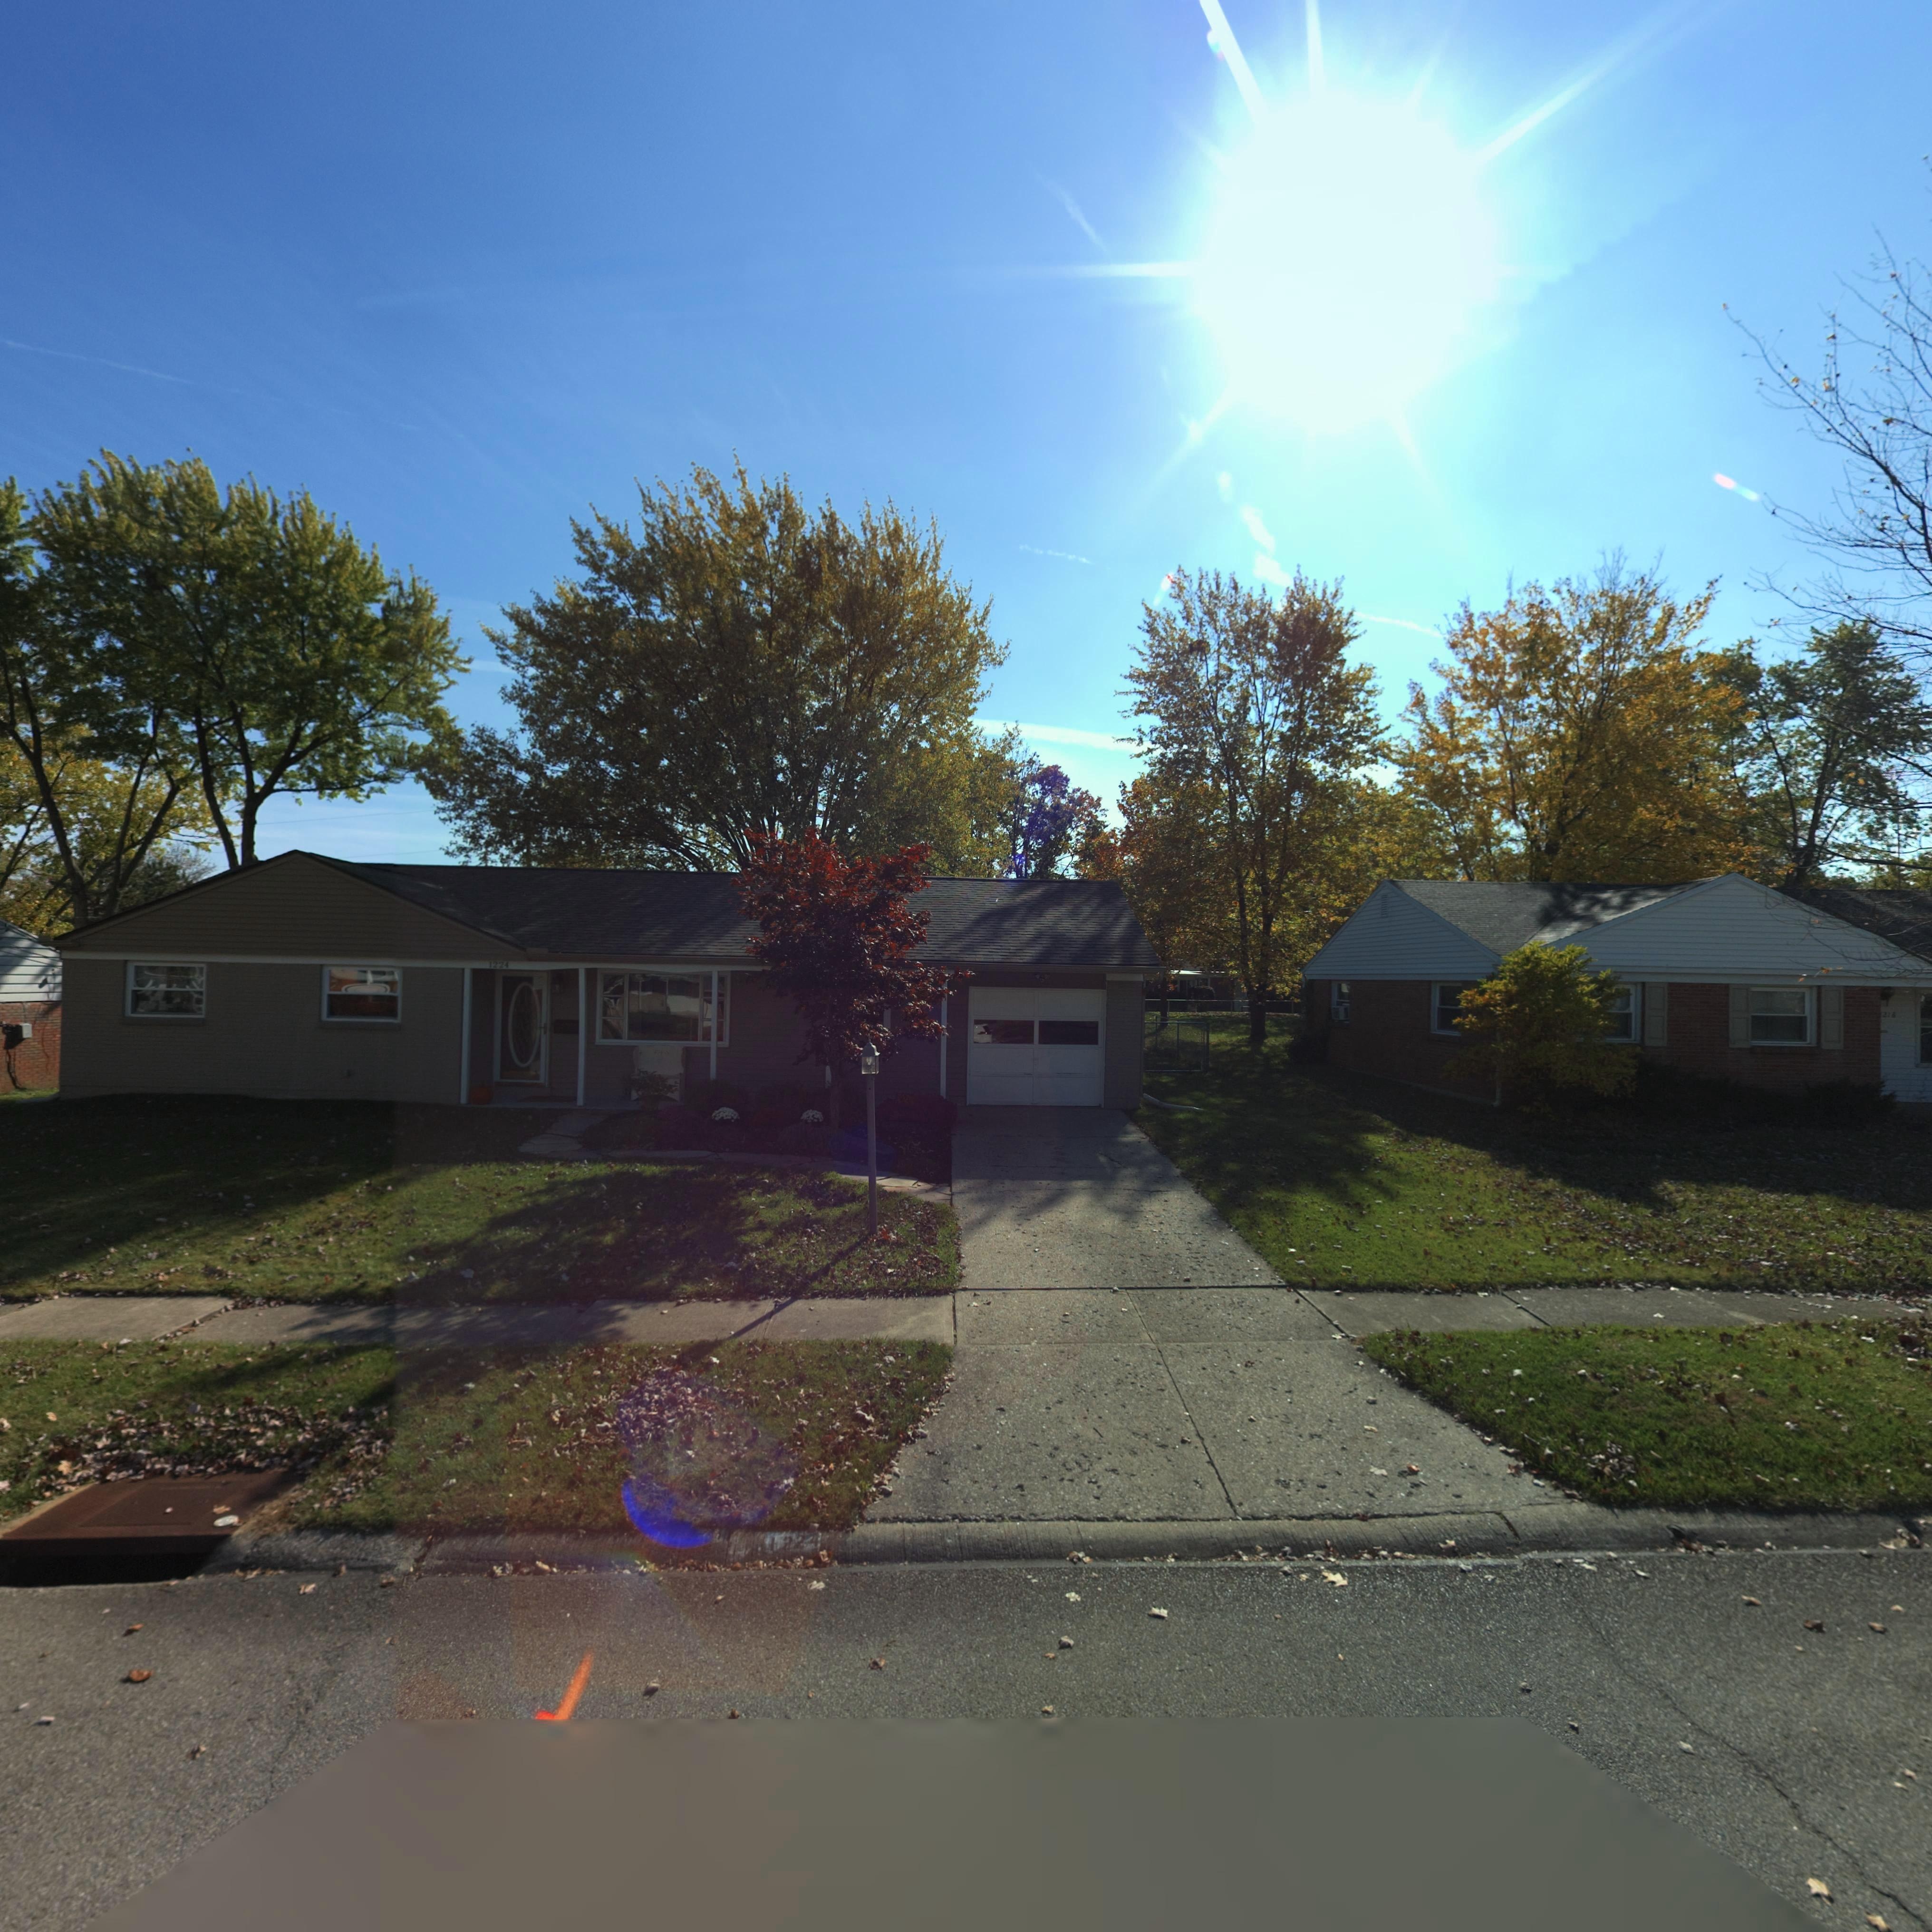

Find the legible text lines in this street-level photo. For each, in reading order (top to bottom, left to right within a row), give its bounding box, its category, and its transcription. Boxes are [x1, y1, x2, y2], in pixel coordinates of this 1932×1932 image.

[488, 960, 509, 968] StreetNumber: 1224
[1881, 1011, 1895, 1017] StreetNumber: 216